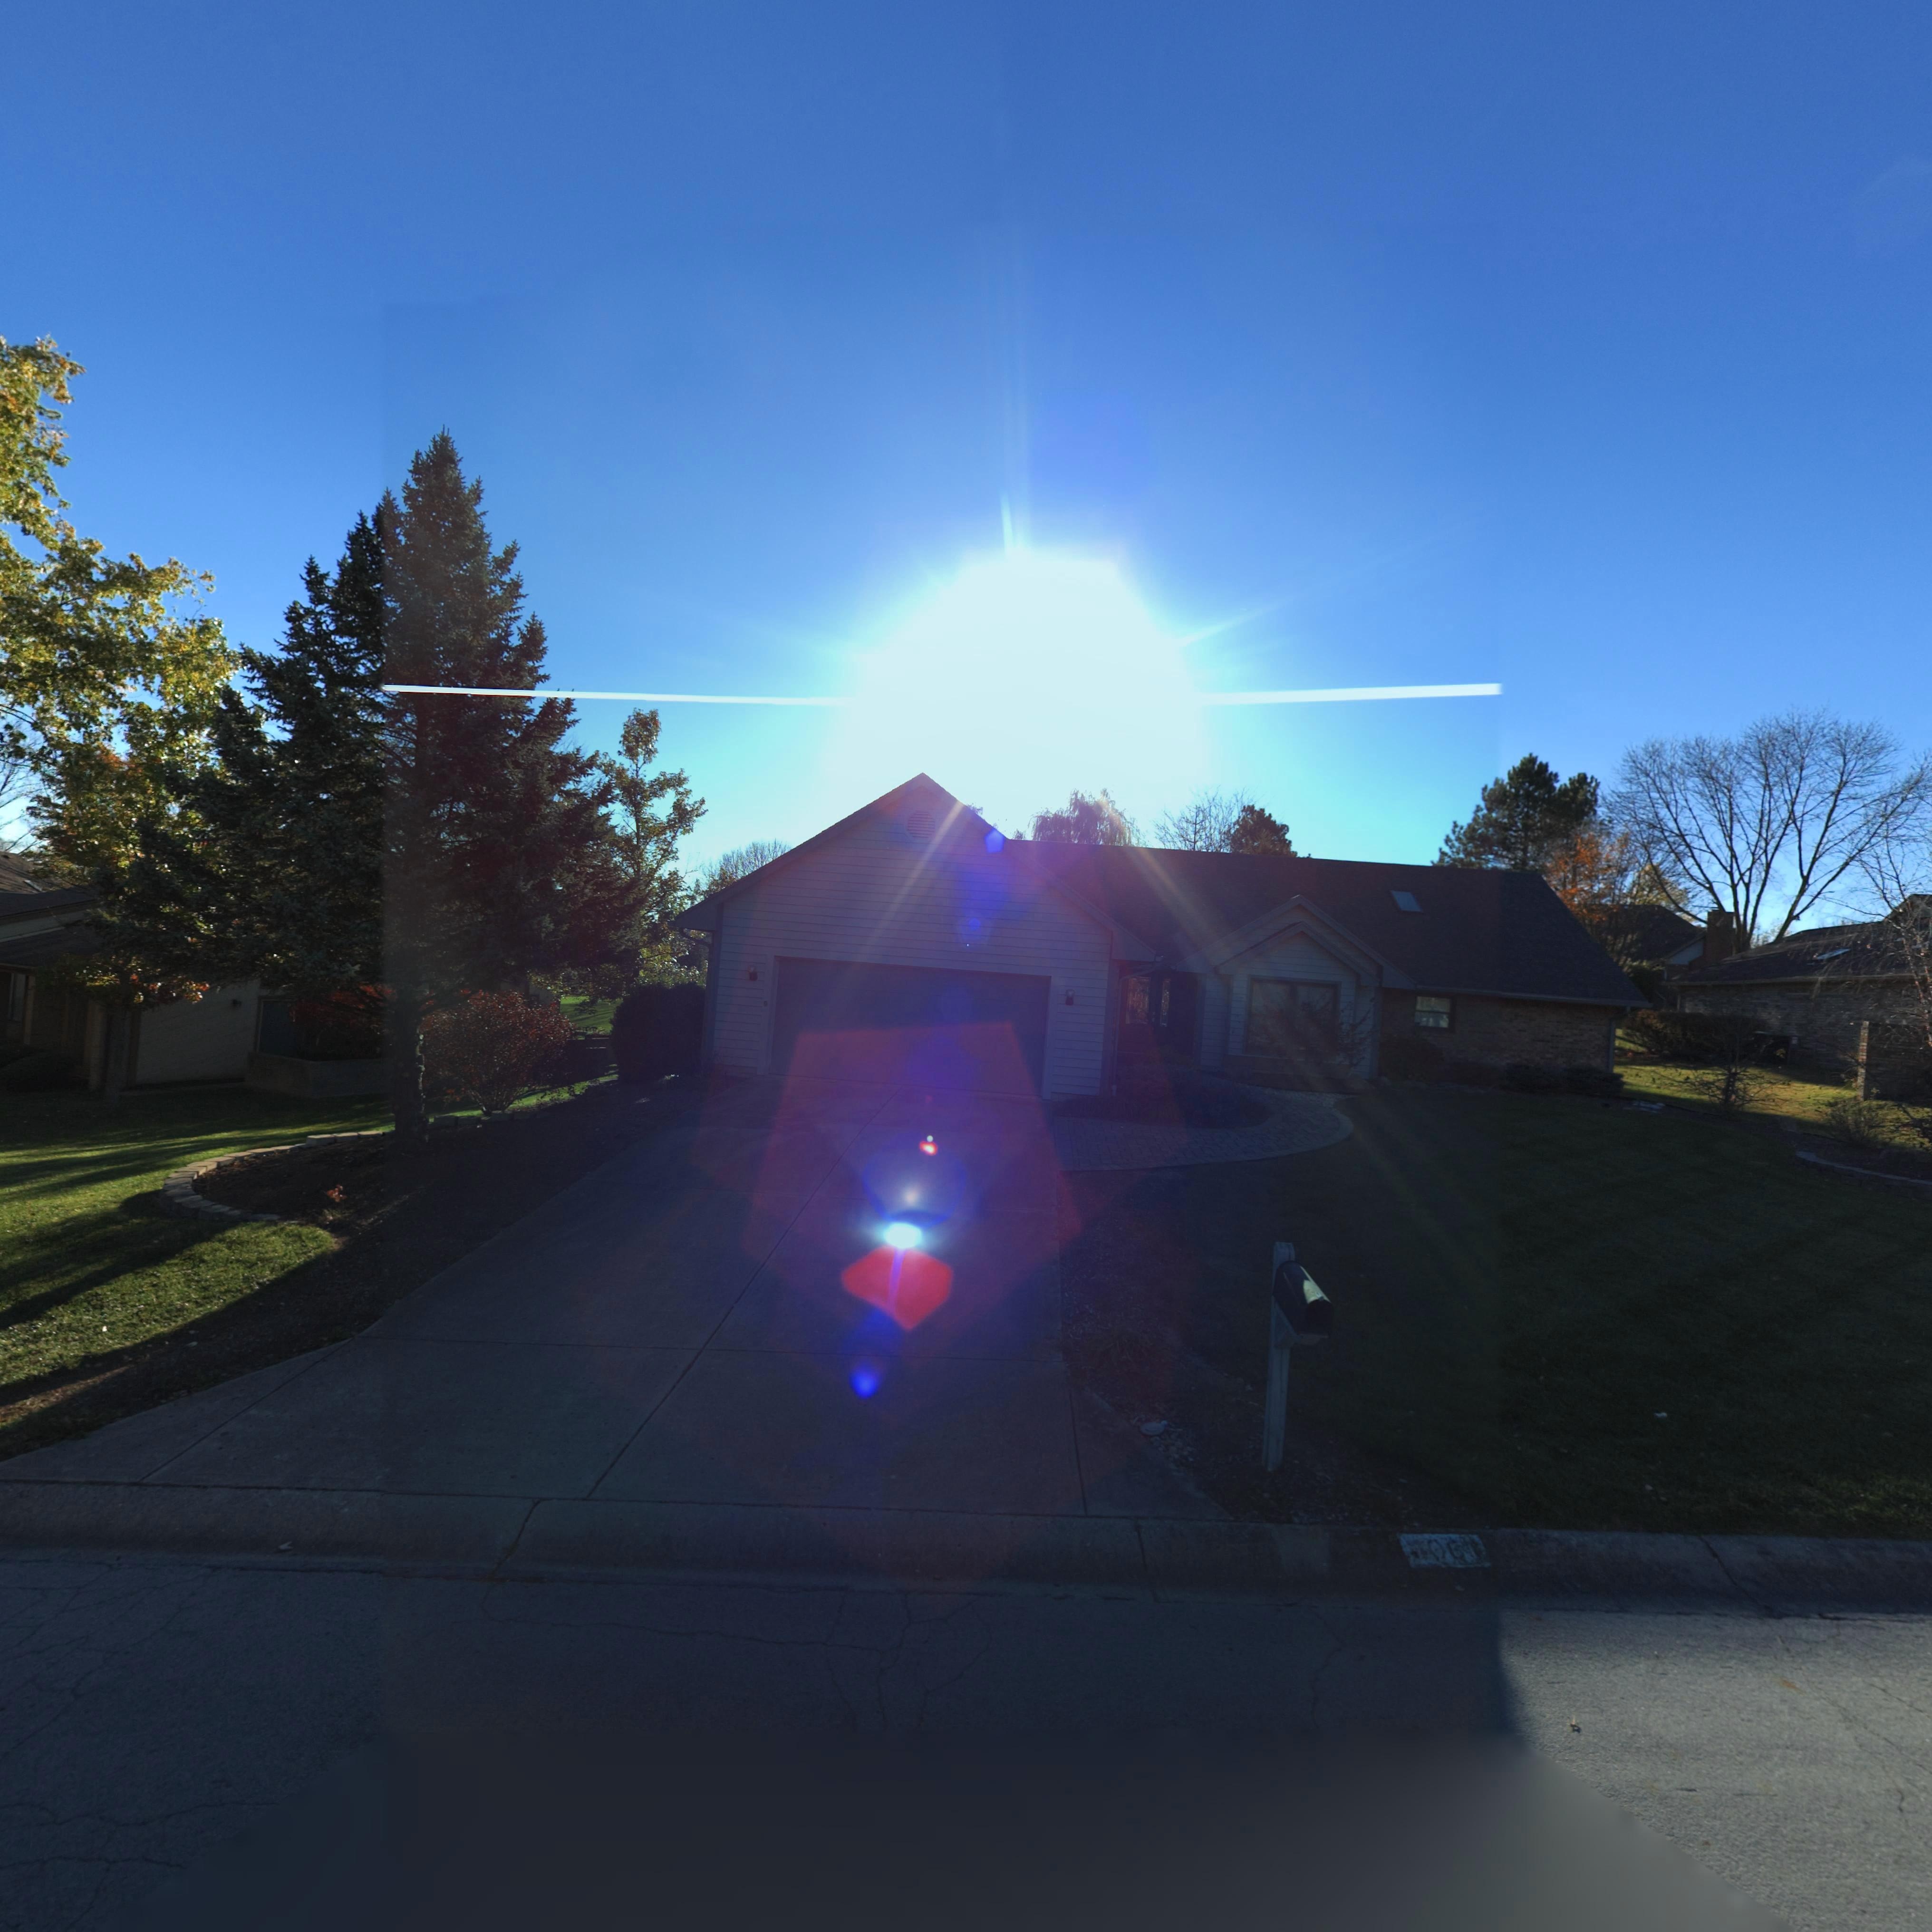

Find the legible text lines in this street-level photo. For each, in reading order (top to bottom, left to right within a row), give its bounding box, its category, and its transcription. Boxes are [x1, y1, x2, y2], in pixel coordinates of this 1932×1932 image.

[1408, 1536, 1480, 1565] StreetNumber: *06*